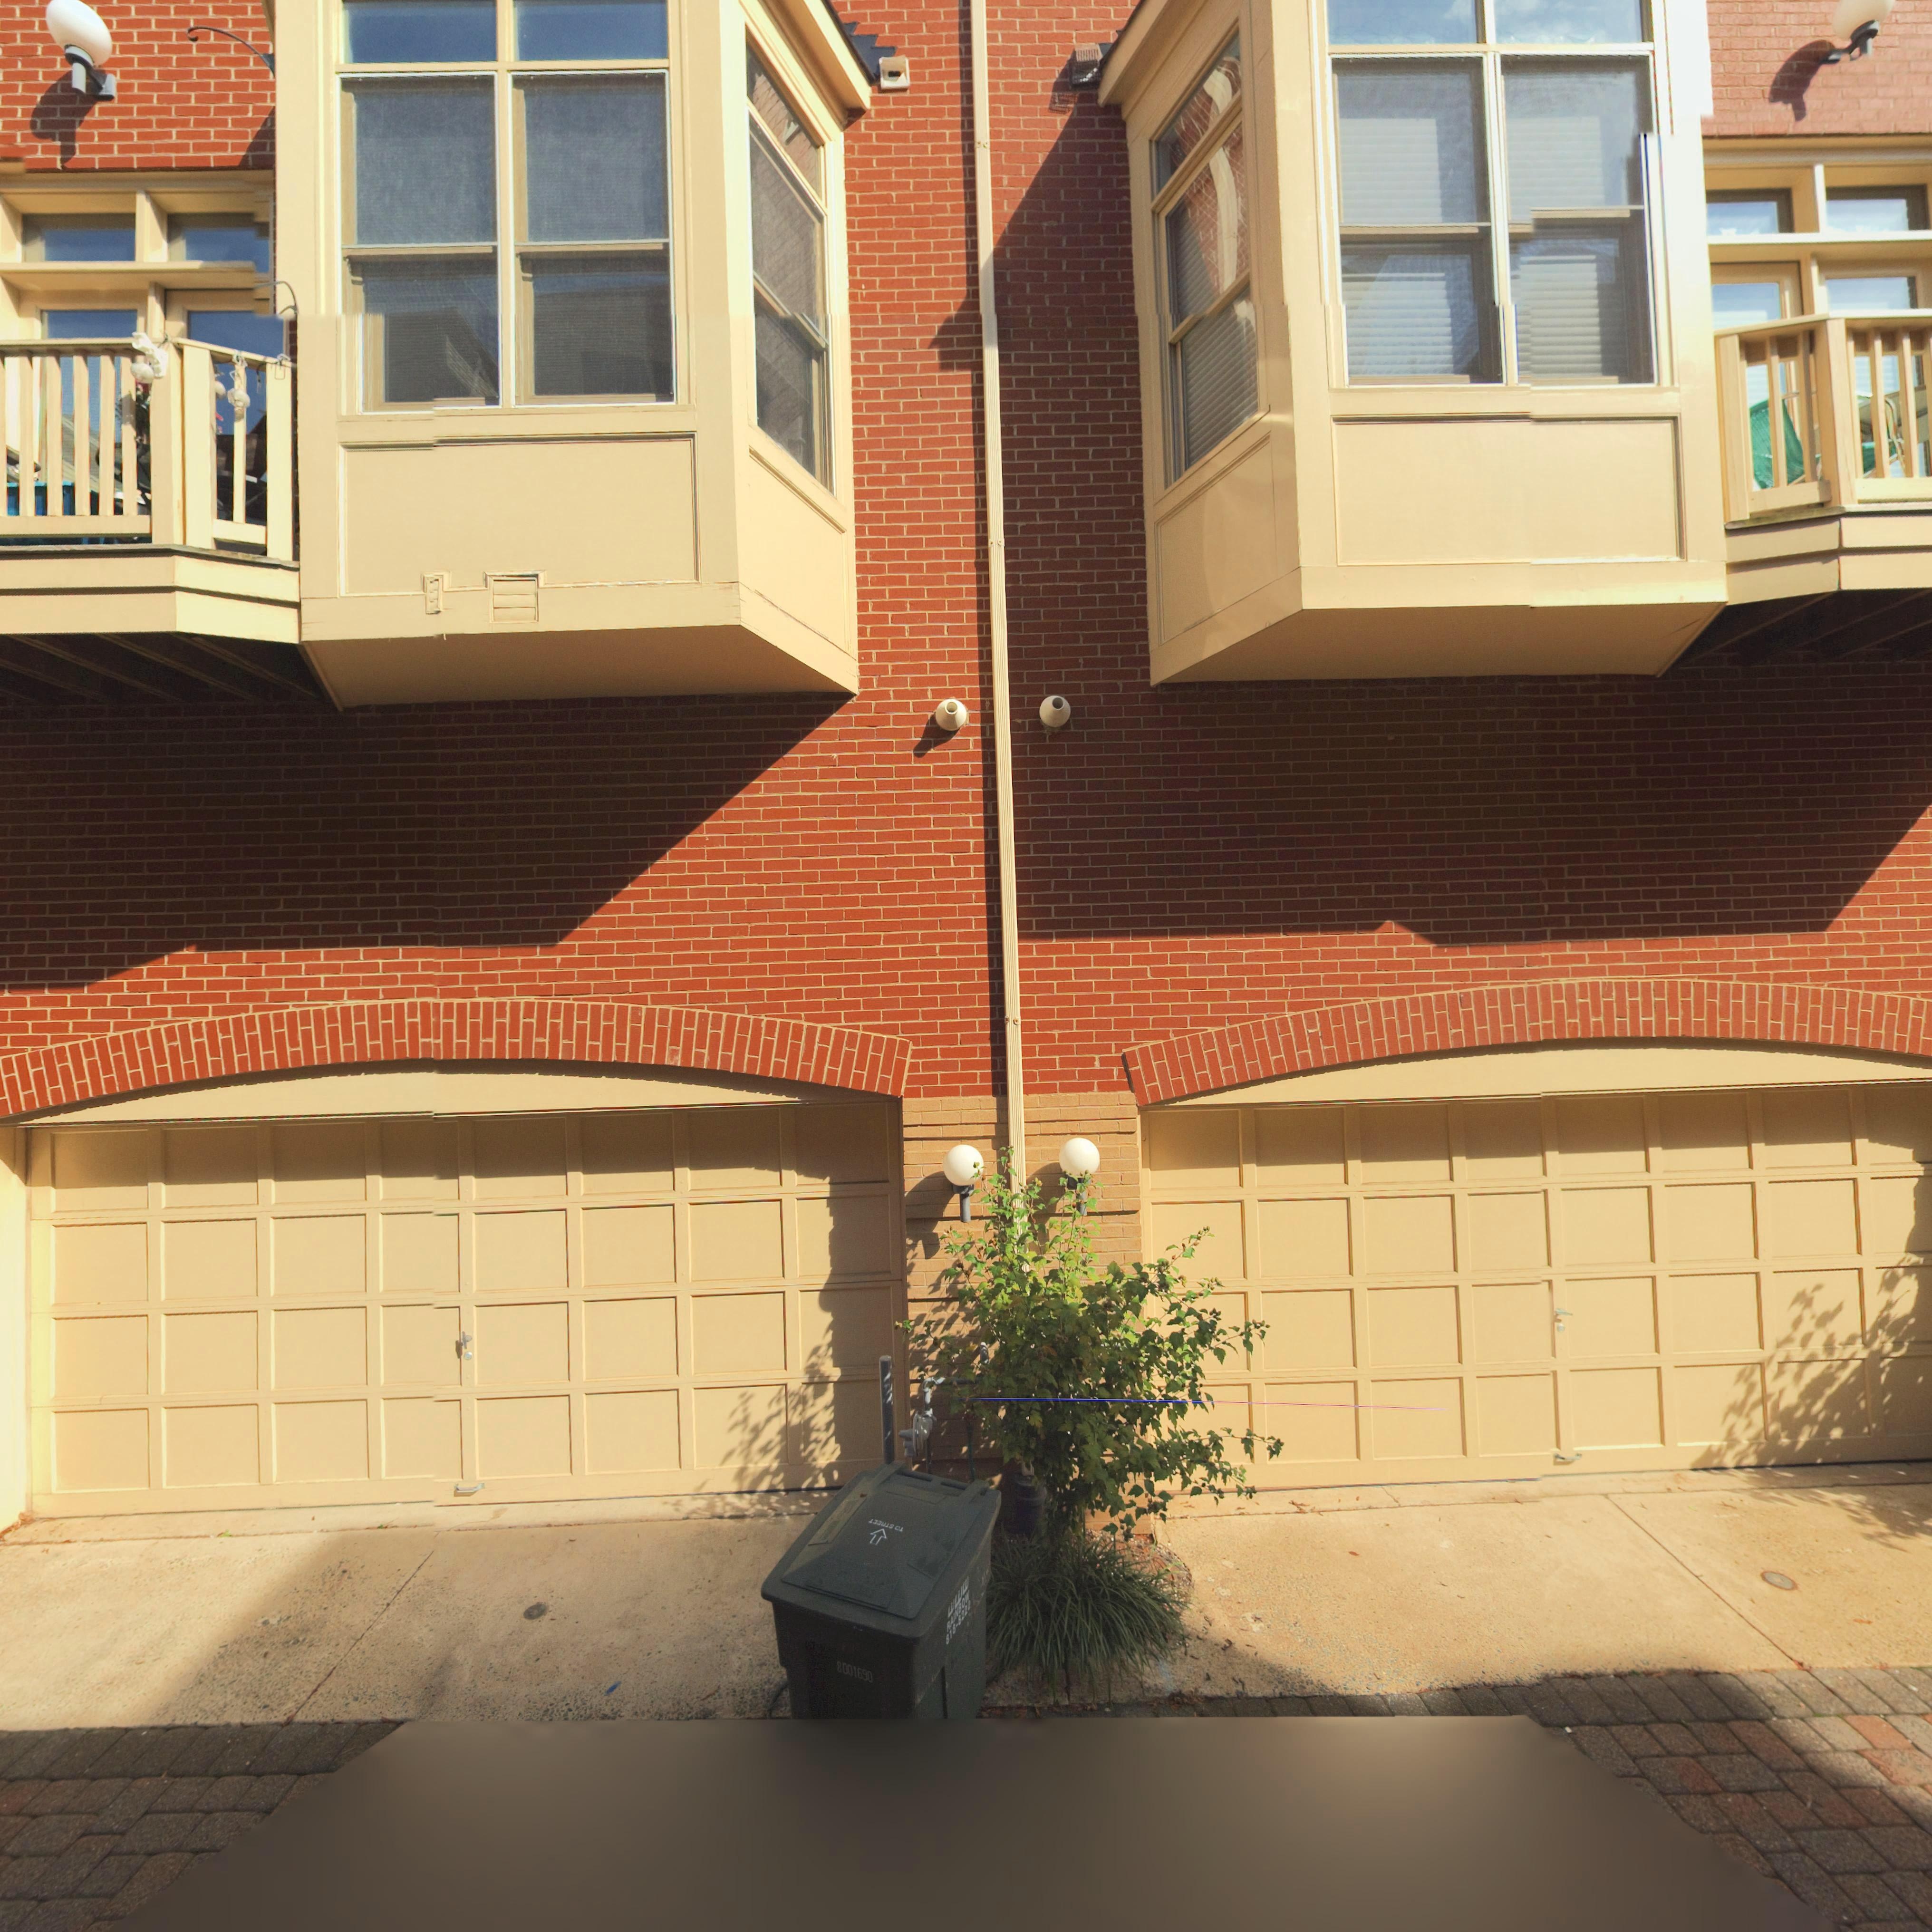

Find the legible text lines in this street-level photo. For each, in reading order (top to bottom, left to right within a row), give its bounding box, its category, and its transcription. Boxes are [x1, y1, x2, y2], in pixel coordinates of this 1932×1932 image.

[867, 1517, 905, 1533] None: ****** O*
[945, 1588, 970, 1634] None: RAINBO*
[945, 1598, 973, 1648] None: 818-*22*
[835, 1659, 874, 1684] None: 8001690